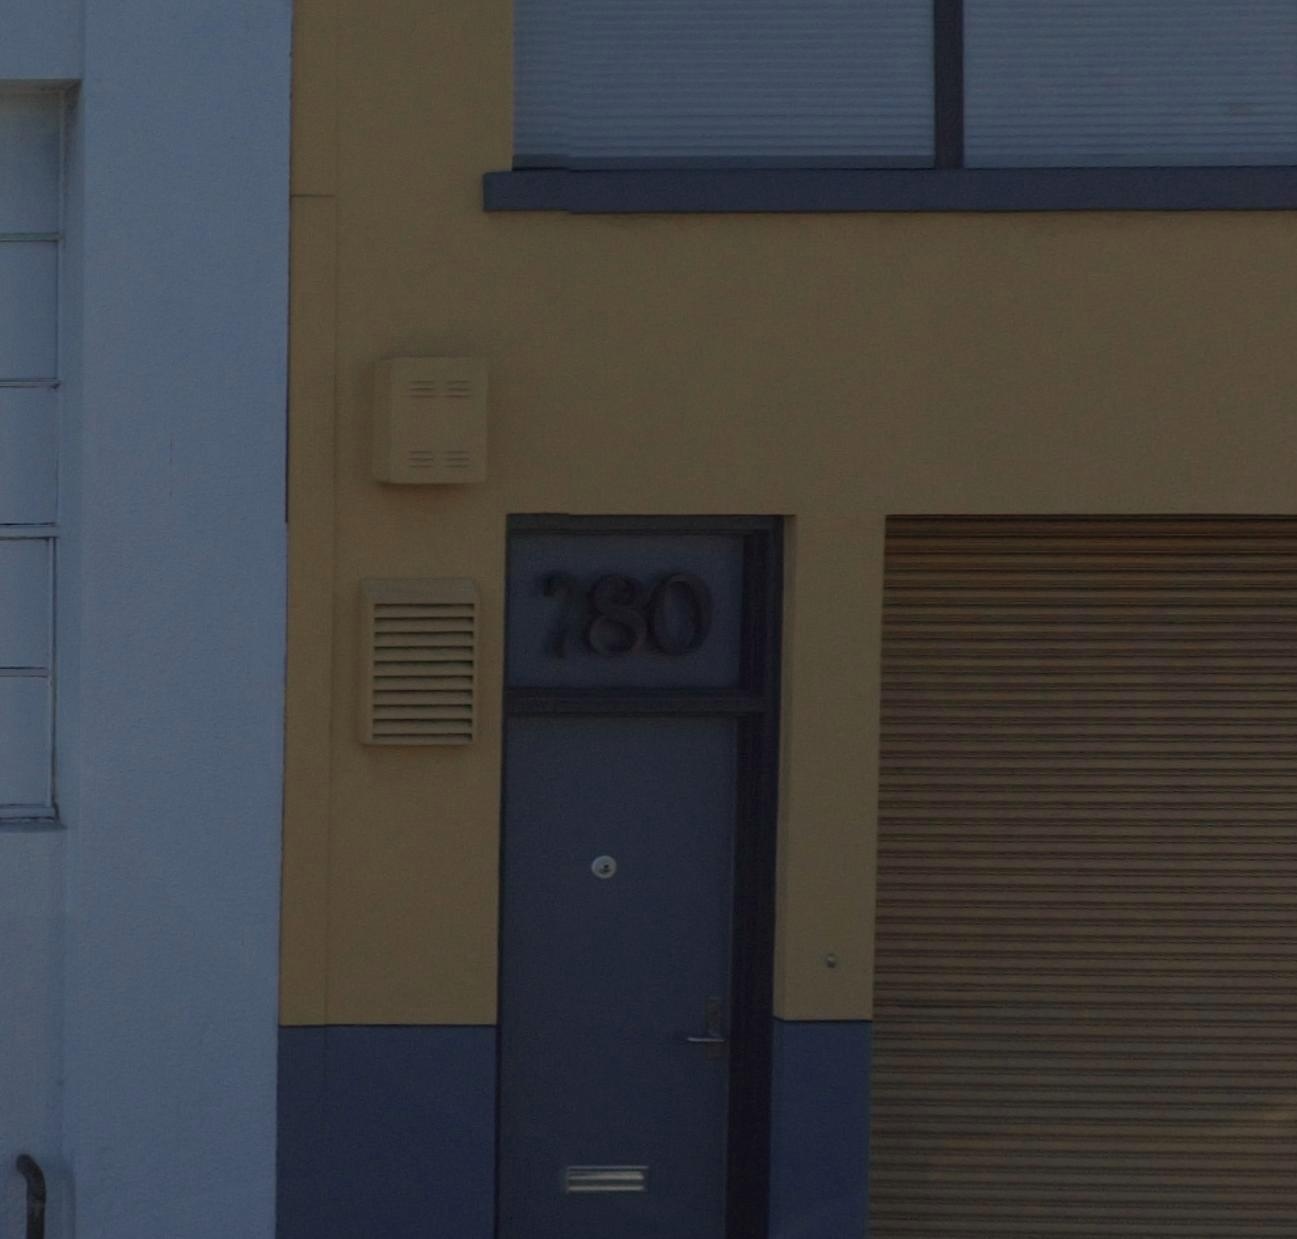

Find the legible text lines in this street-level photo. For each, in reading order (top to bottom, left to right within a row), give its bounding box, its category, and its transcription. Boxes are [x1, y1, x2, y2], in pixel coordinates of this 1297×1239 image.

[541, 566, 711, 661] StreetNumber: 780